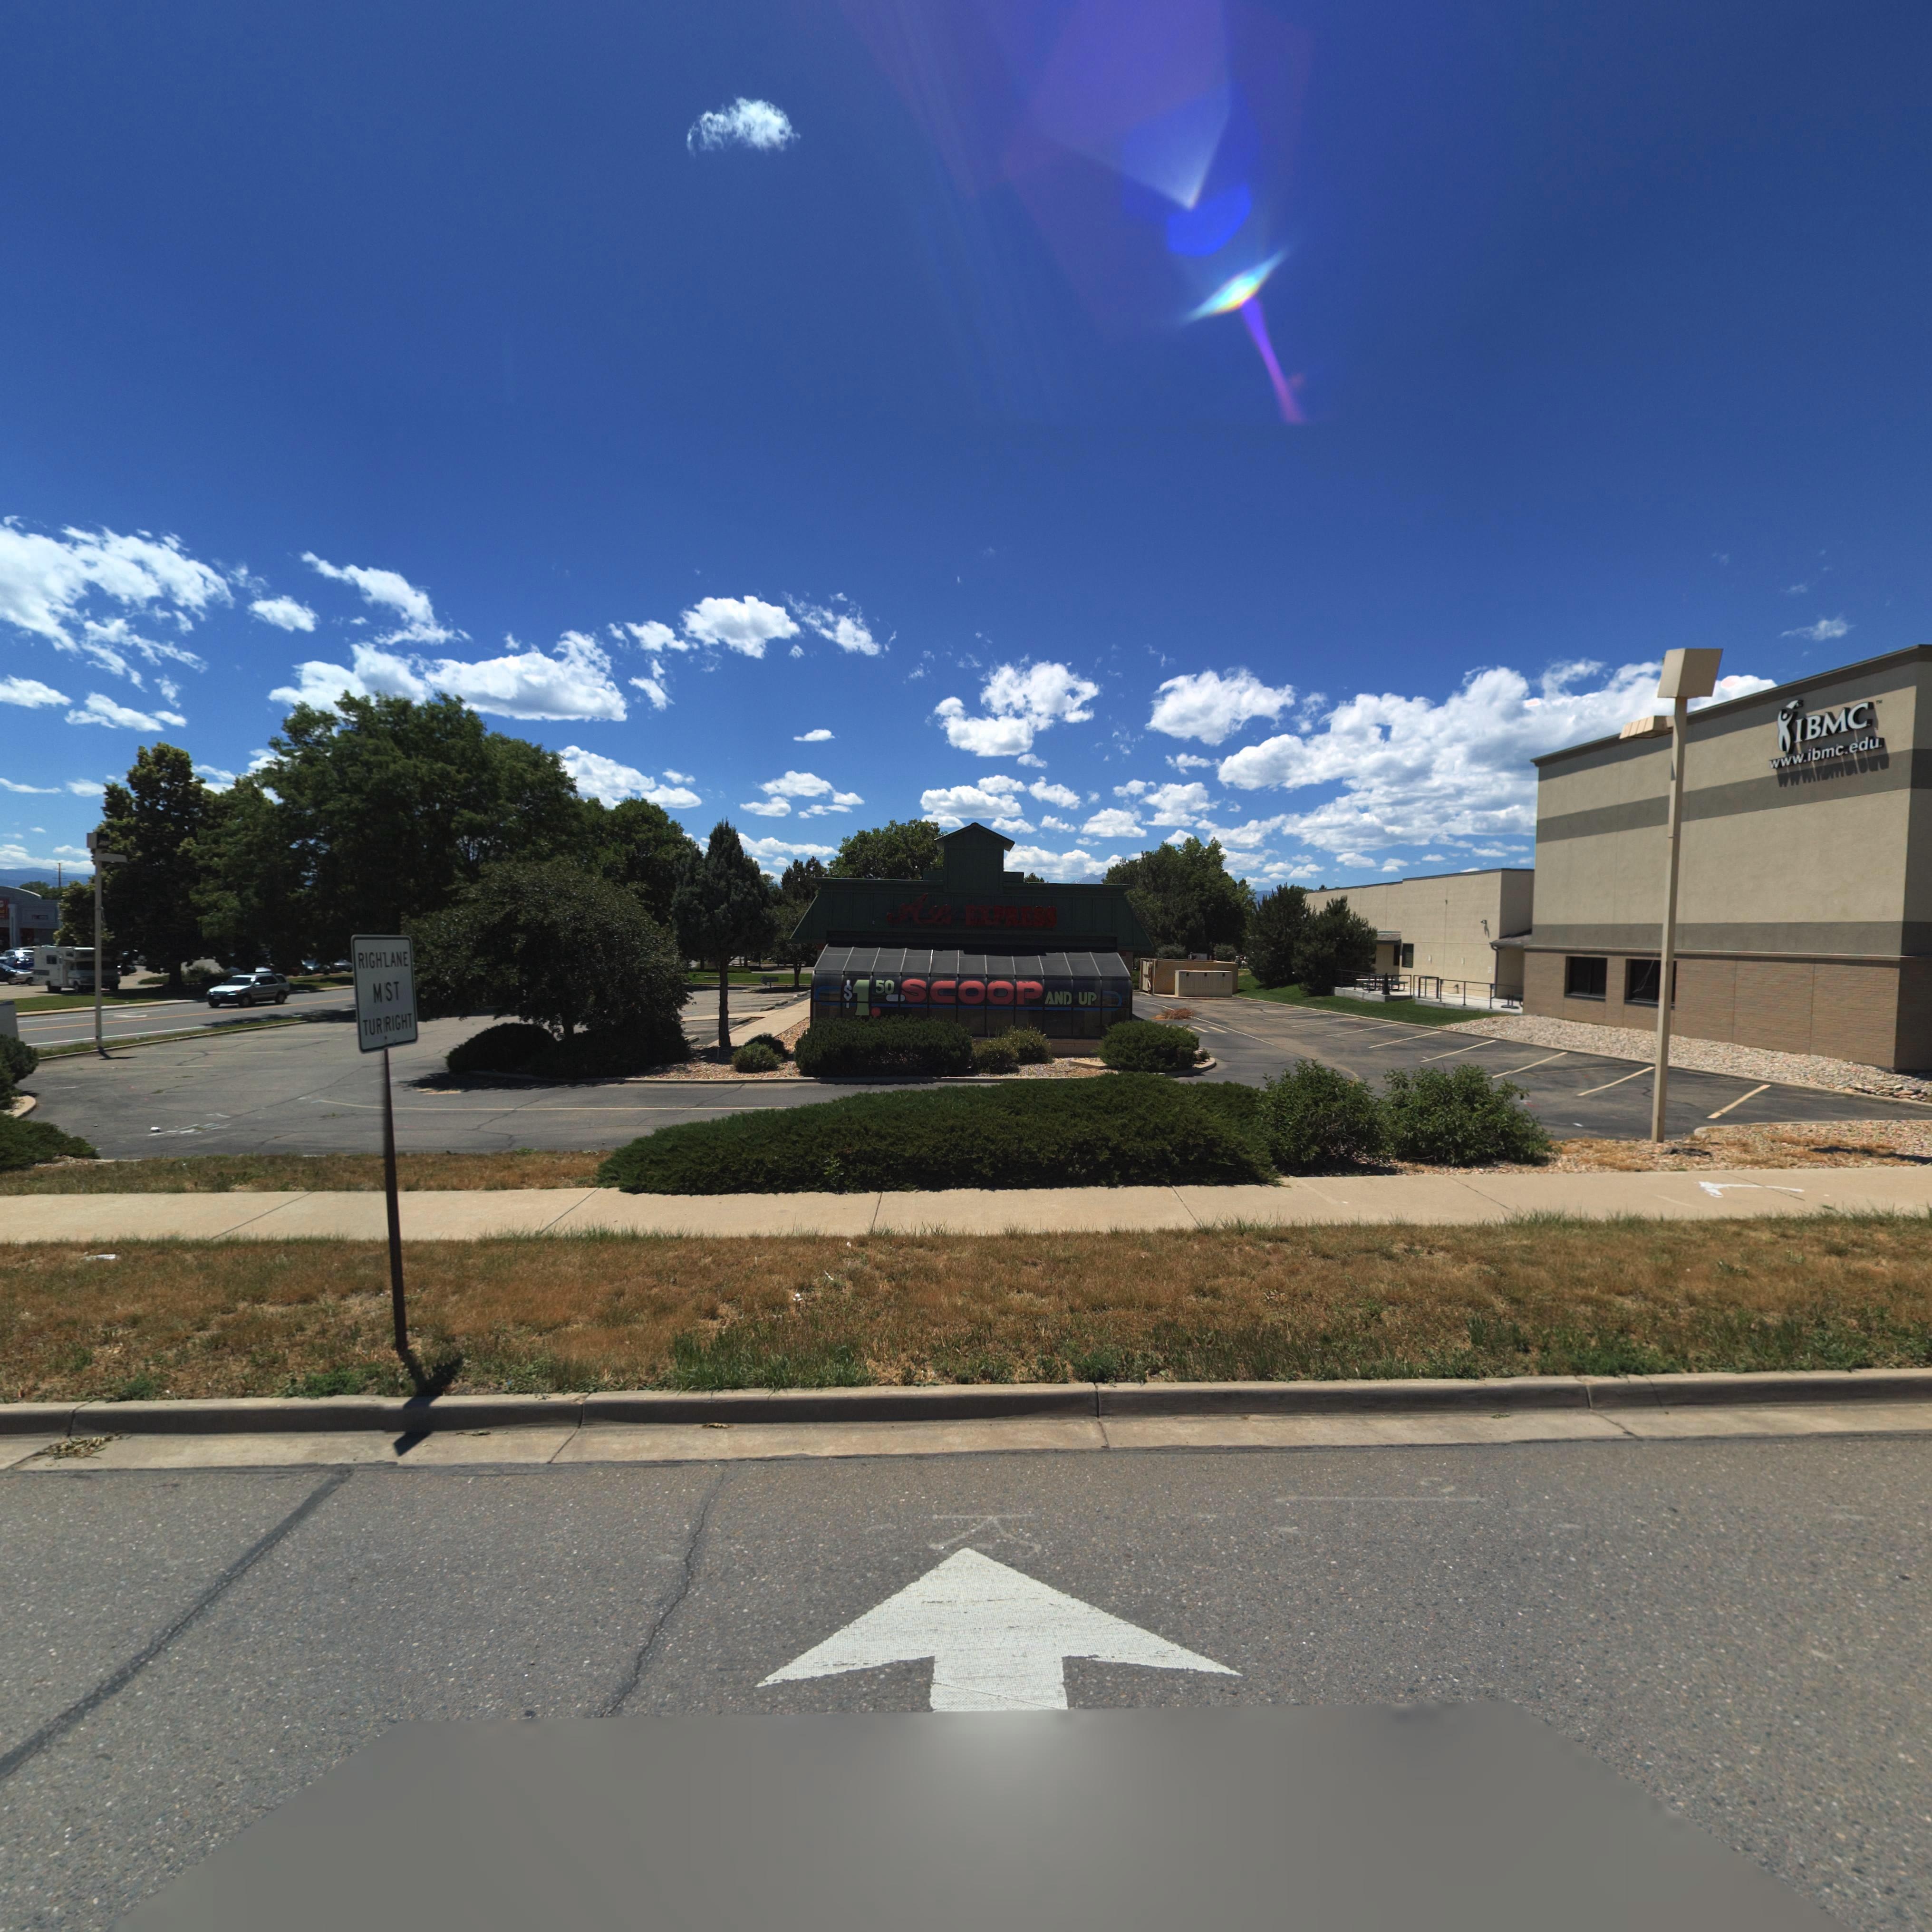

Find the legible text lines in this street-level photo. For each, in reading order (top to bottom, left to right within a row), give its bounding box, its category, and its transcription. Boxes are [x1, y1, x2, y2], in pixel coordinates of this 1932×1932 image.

[1794, 701, 1869, 743] BusinessName: IBMC
[884, 892, 1058, 928] BusinessName: Ali EXPRESS